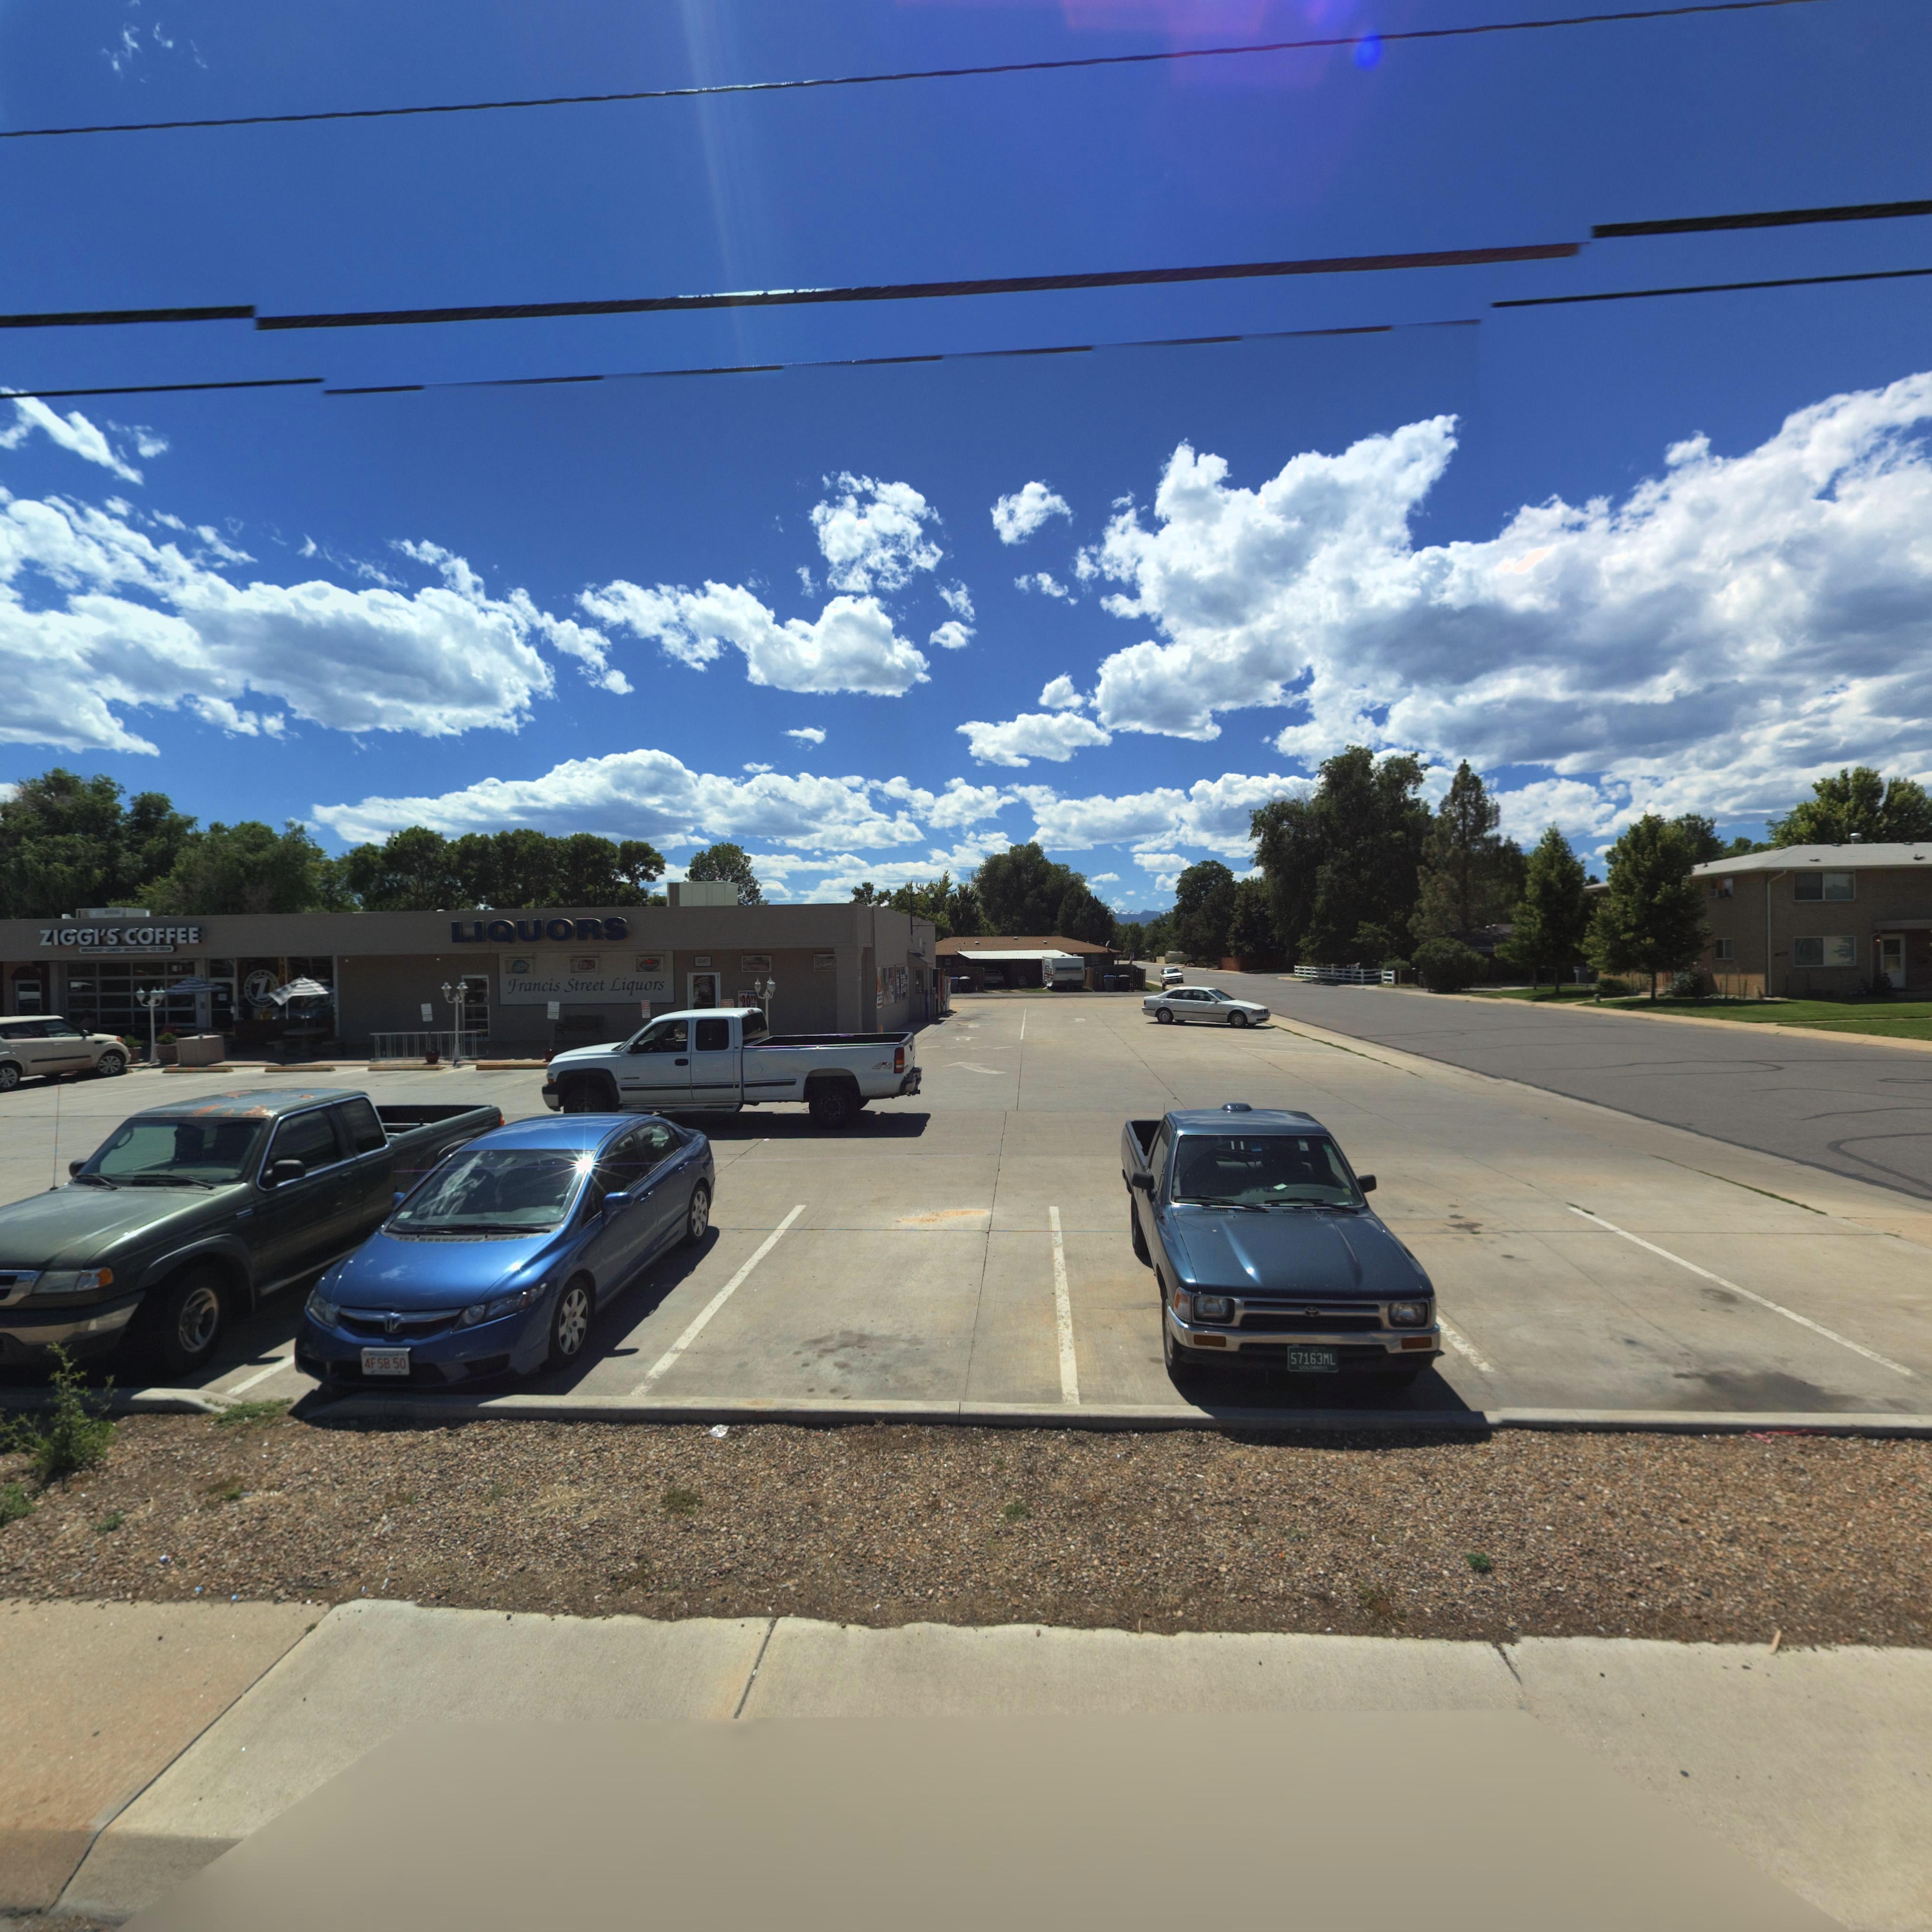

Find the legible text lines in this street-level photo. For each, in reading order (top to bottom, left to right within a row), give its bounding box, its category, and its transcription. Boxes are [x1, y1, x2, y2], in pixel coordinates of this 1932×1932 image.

[39, 927, 199, 946] BusinessName: ZIGGI'S COFFEE
[696, 958, 708, 963] StreetNumber: 1147
[505, 976, 665, 996] BusinessName: Francis Street Liquors